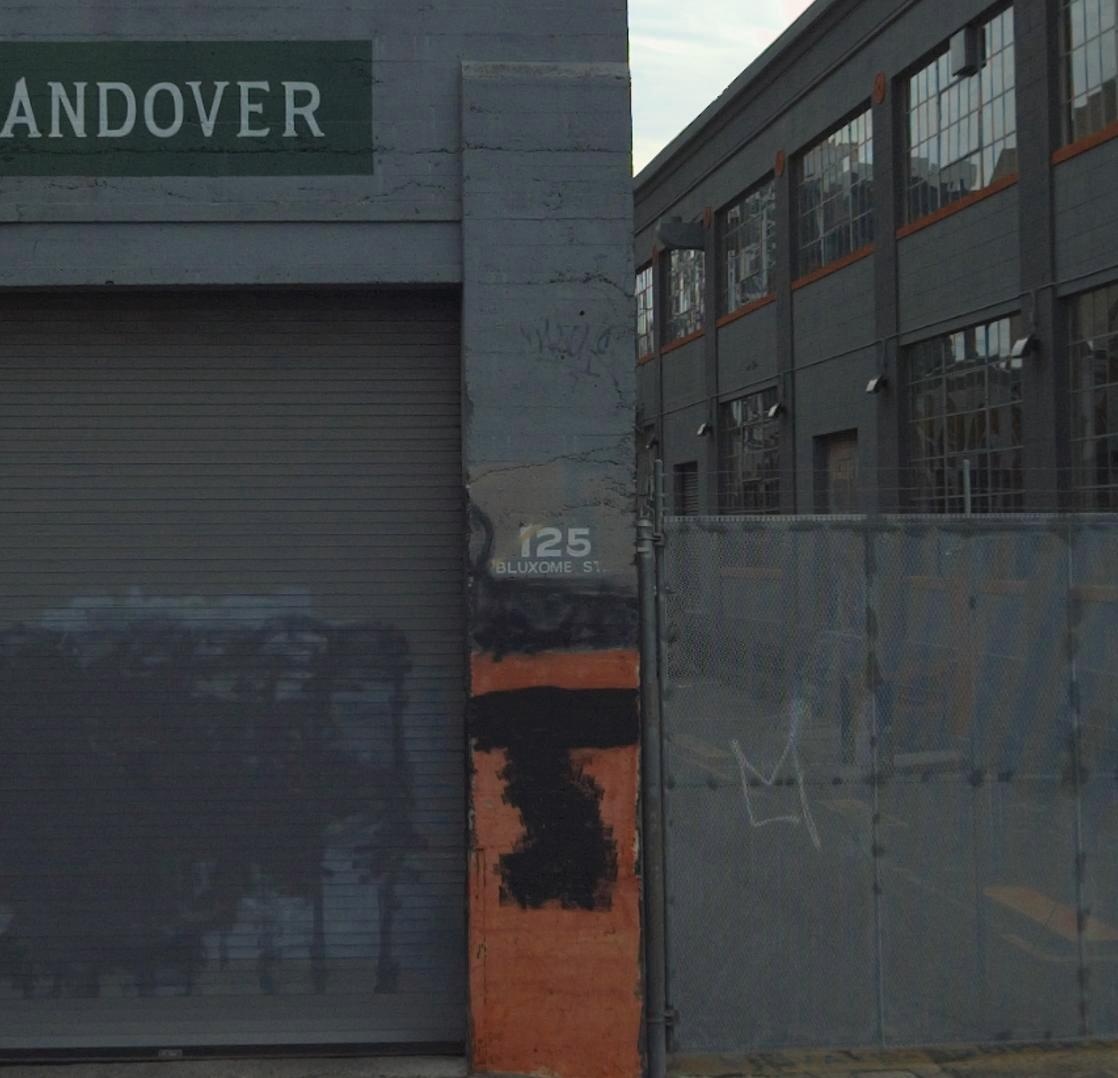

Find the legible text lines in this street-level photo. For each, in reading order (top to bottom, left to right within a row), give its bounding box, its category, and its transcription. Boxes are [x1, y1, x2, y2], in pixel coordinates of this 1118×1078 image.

[0, 74, 329, 142] None: ANDOVER
[518, 524, 593, 560] StreetNumber: 125
[493, 559, 607, 575] StreetName: BLUXOME S*.